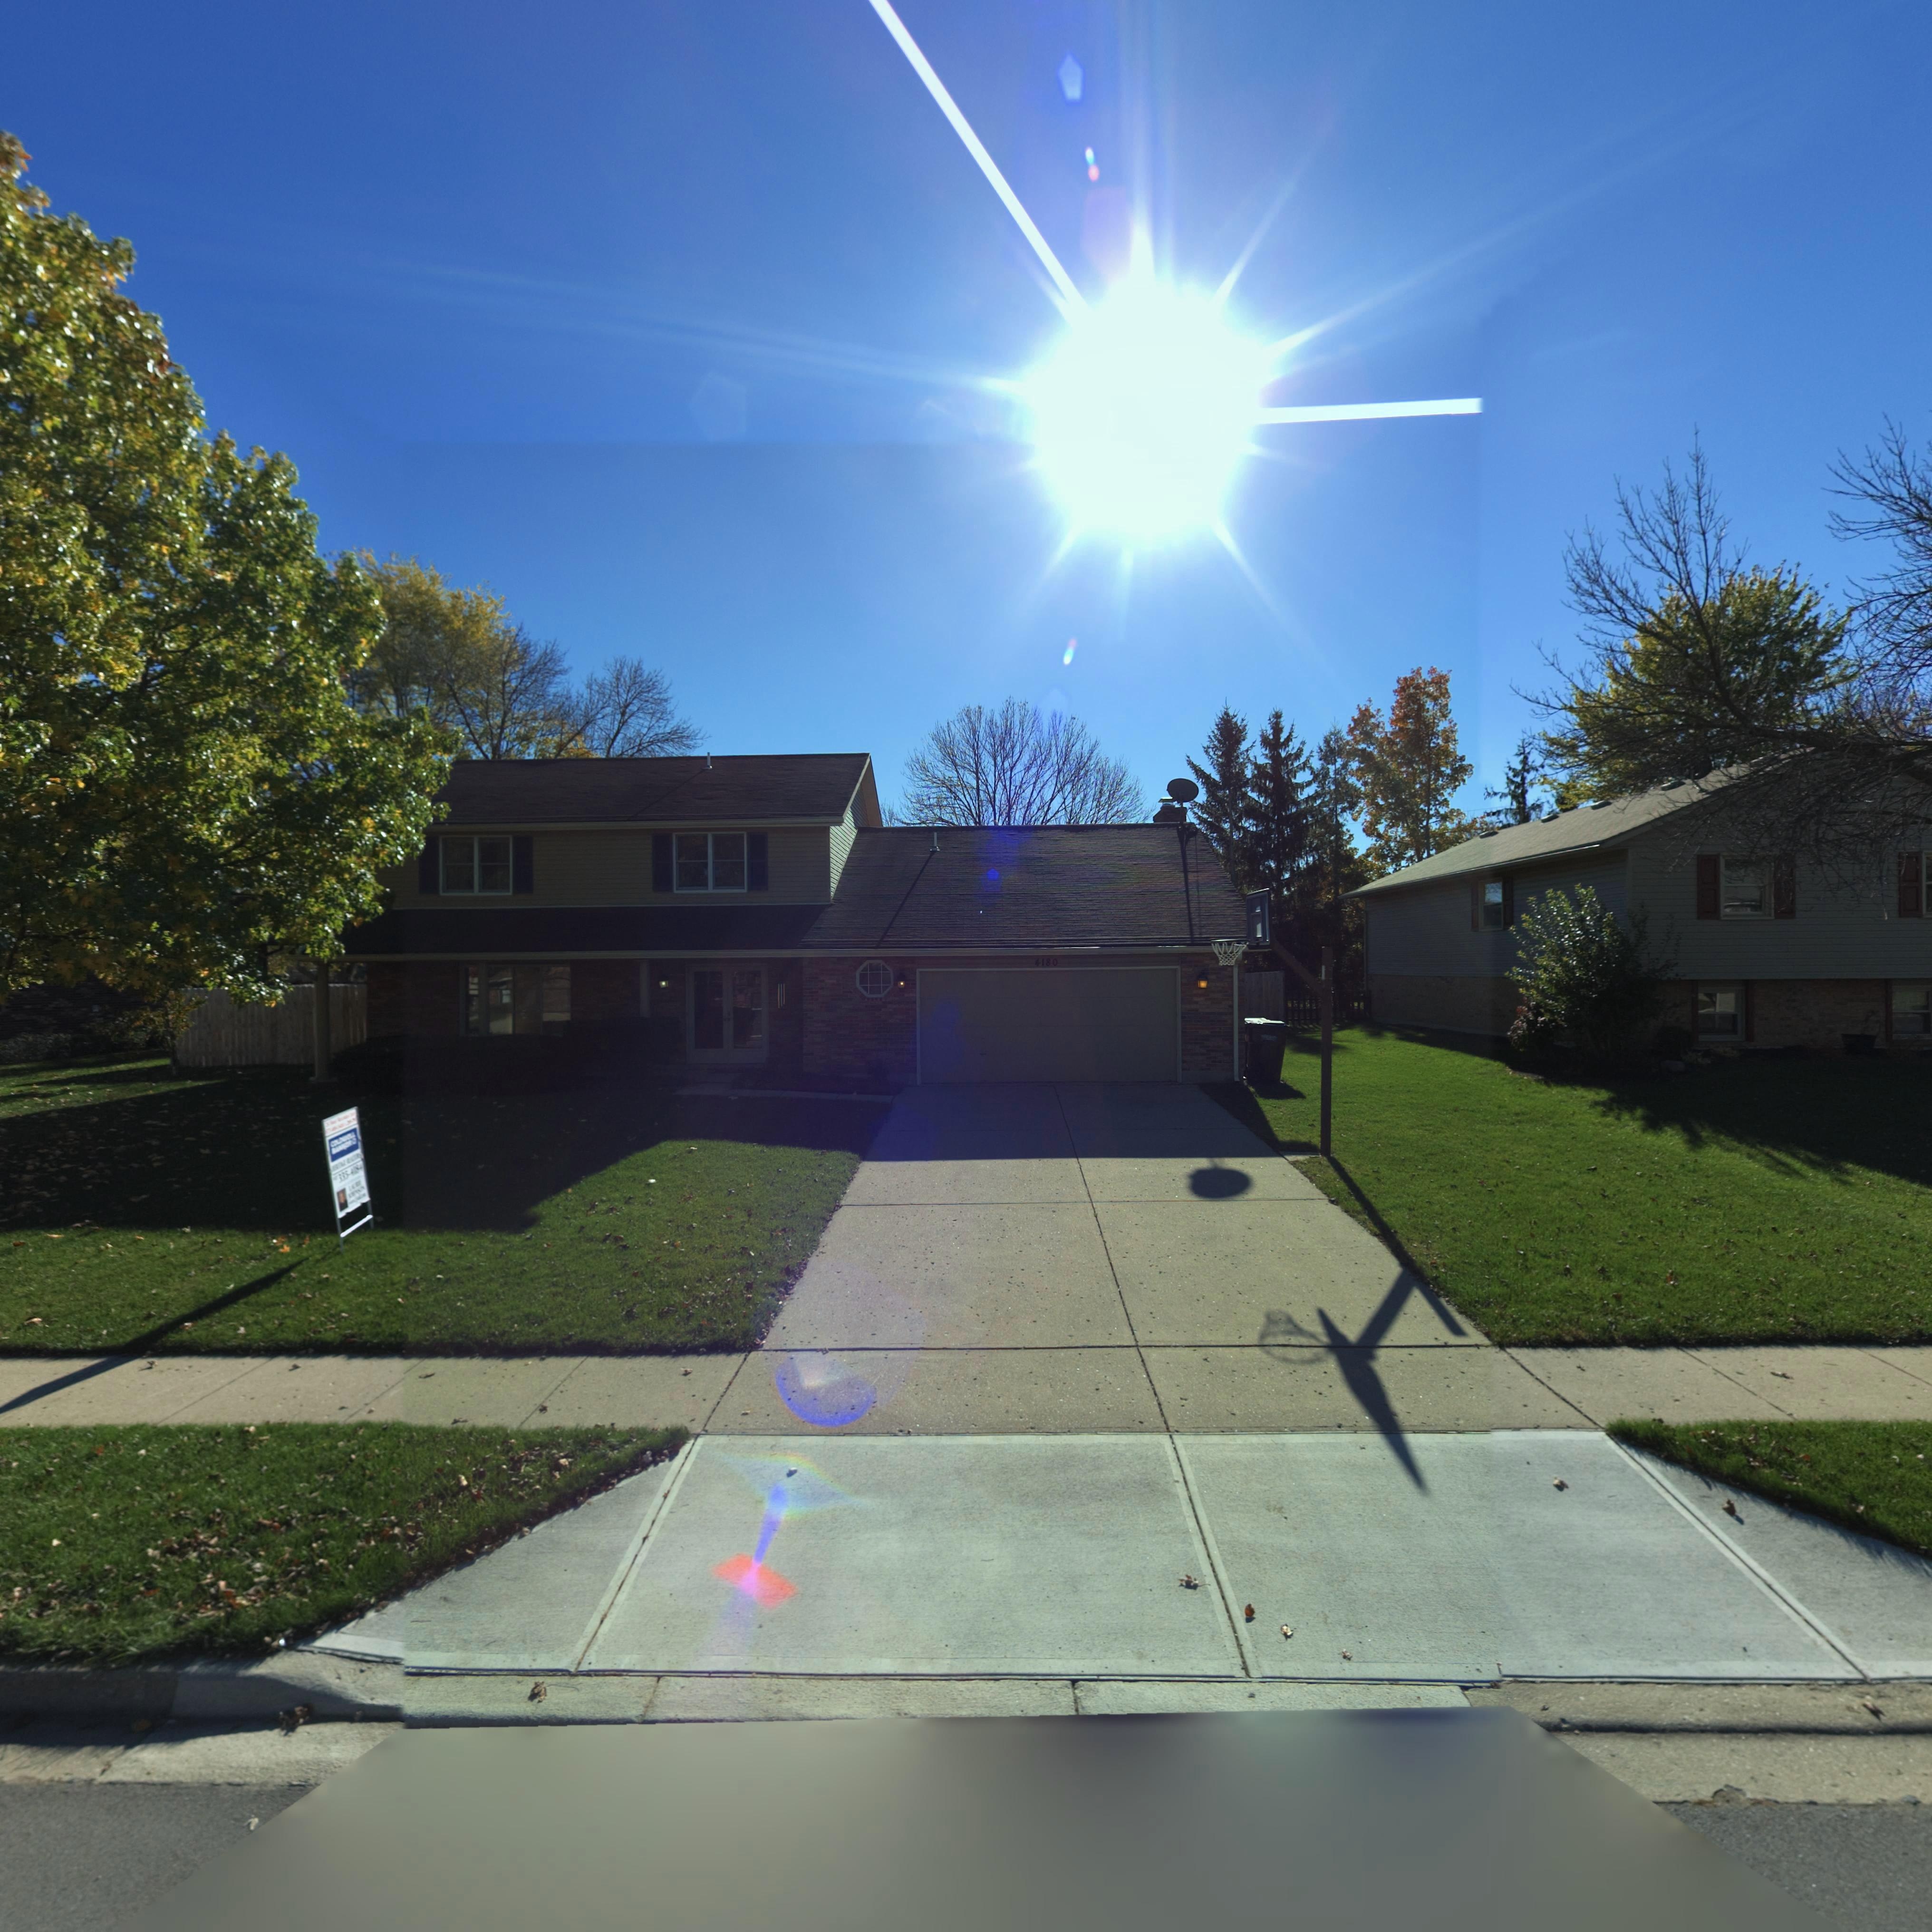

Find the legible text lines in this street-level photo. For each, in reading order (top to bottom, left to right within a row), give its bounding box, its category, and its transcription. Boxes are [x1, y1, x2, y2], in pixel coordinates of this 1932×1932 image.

[1034, 957, 1059, 968] StreetNumber: 4180
[329, 1130, 357, 1149] None: COLD***L
[337, 1160, 364, 1185] None: 335-4*8*